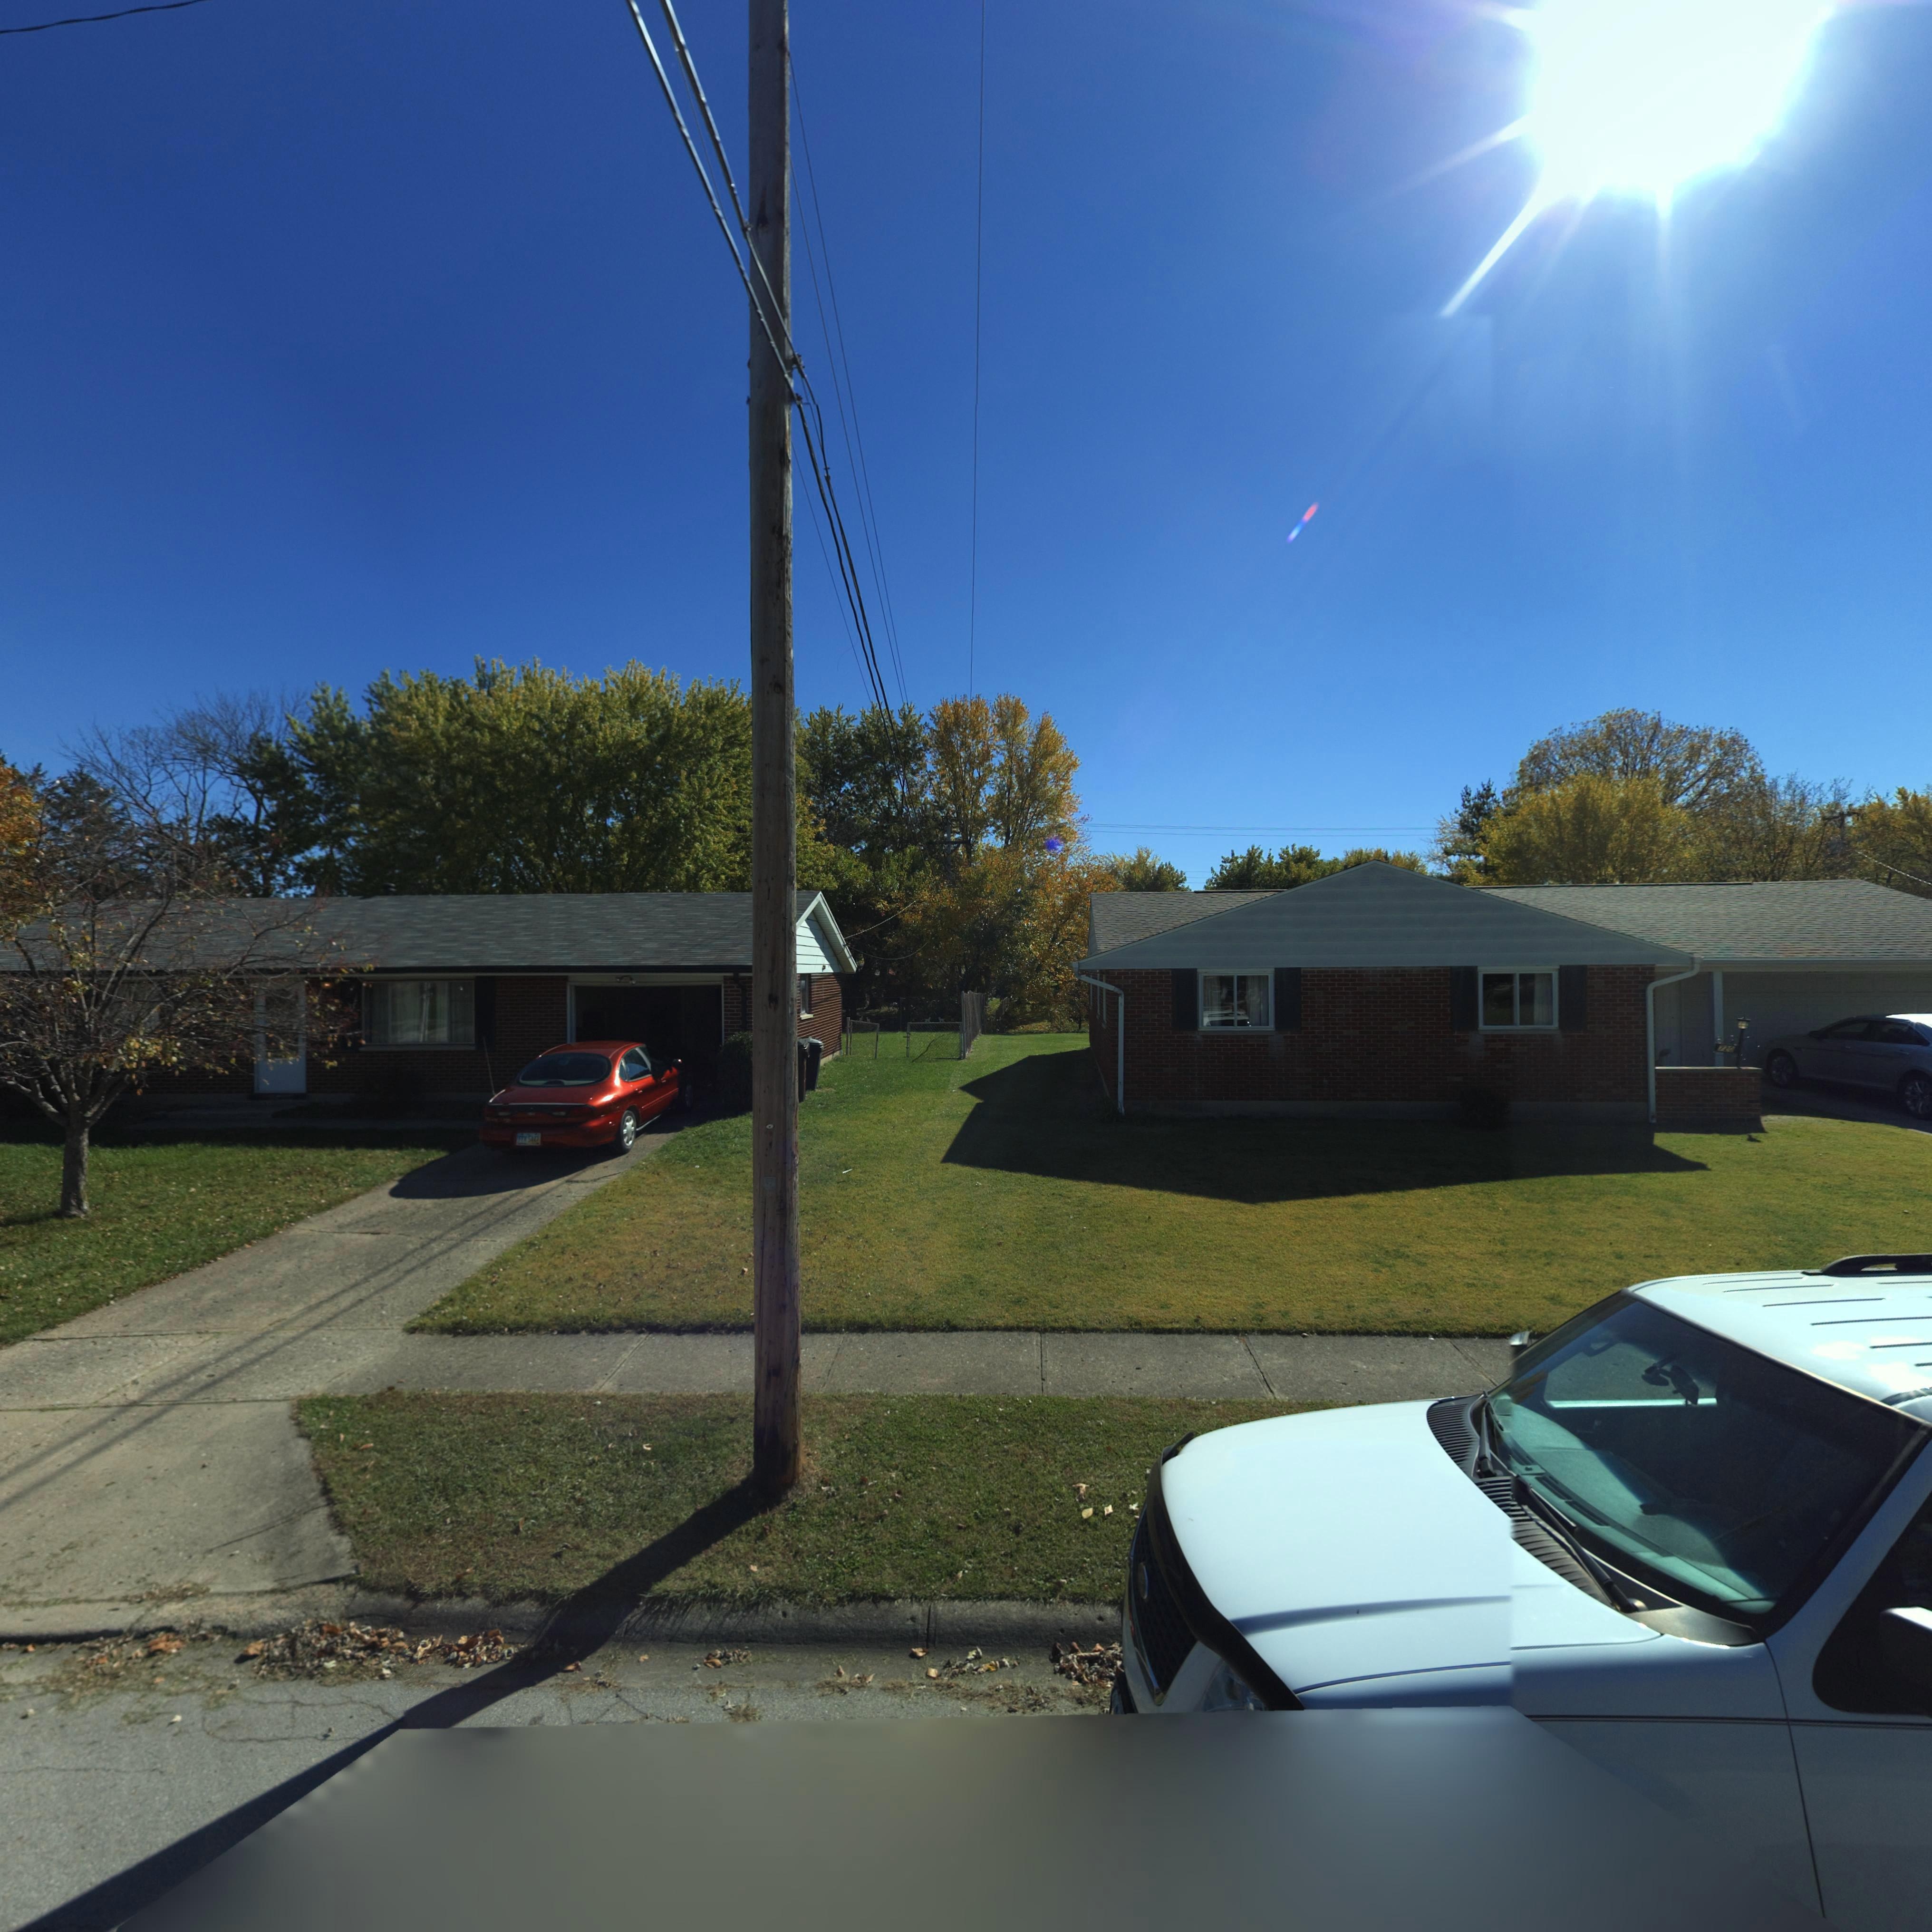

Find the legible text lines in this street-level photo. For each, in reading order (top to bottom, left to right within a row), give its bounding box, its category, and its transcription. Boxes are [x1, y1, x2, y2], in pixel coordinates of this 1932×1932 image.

[1717, 1045, 1735, 1053] StreetNumber: 720